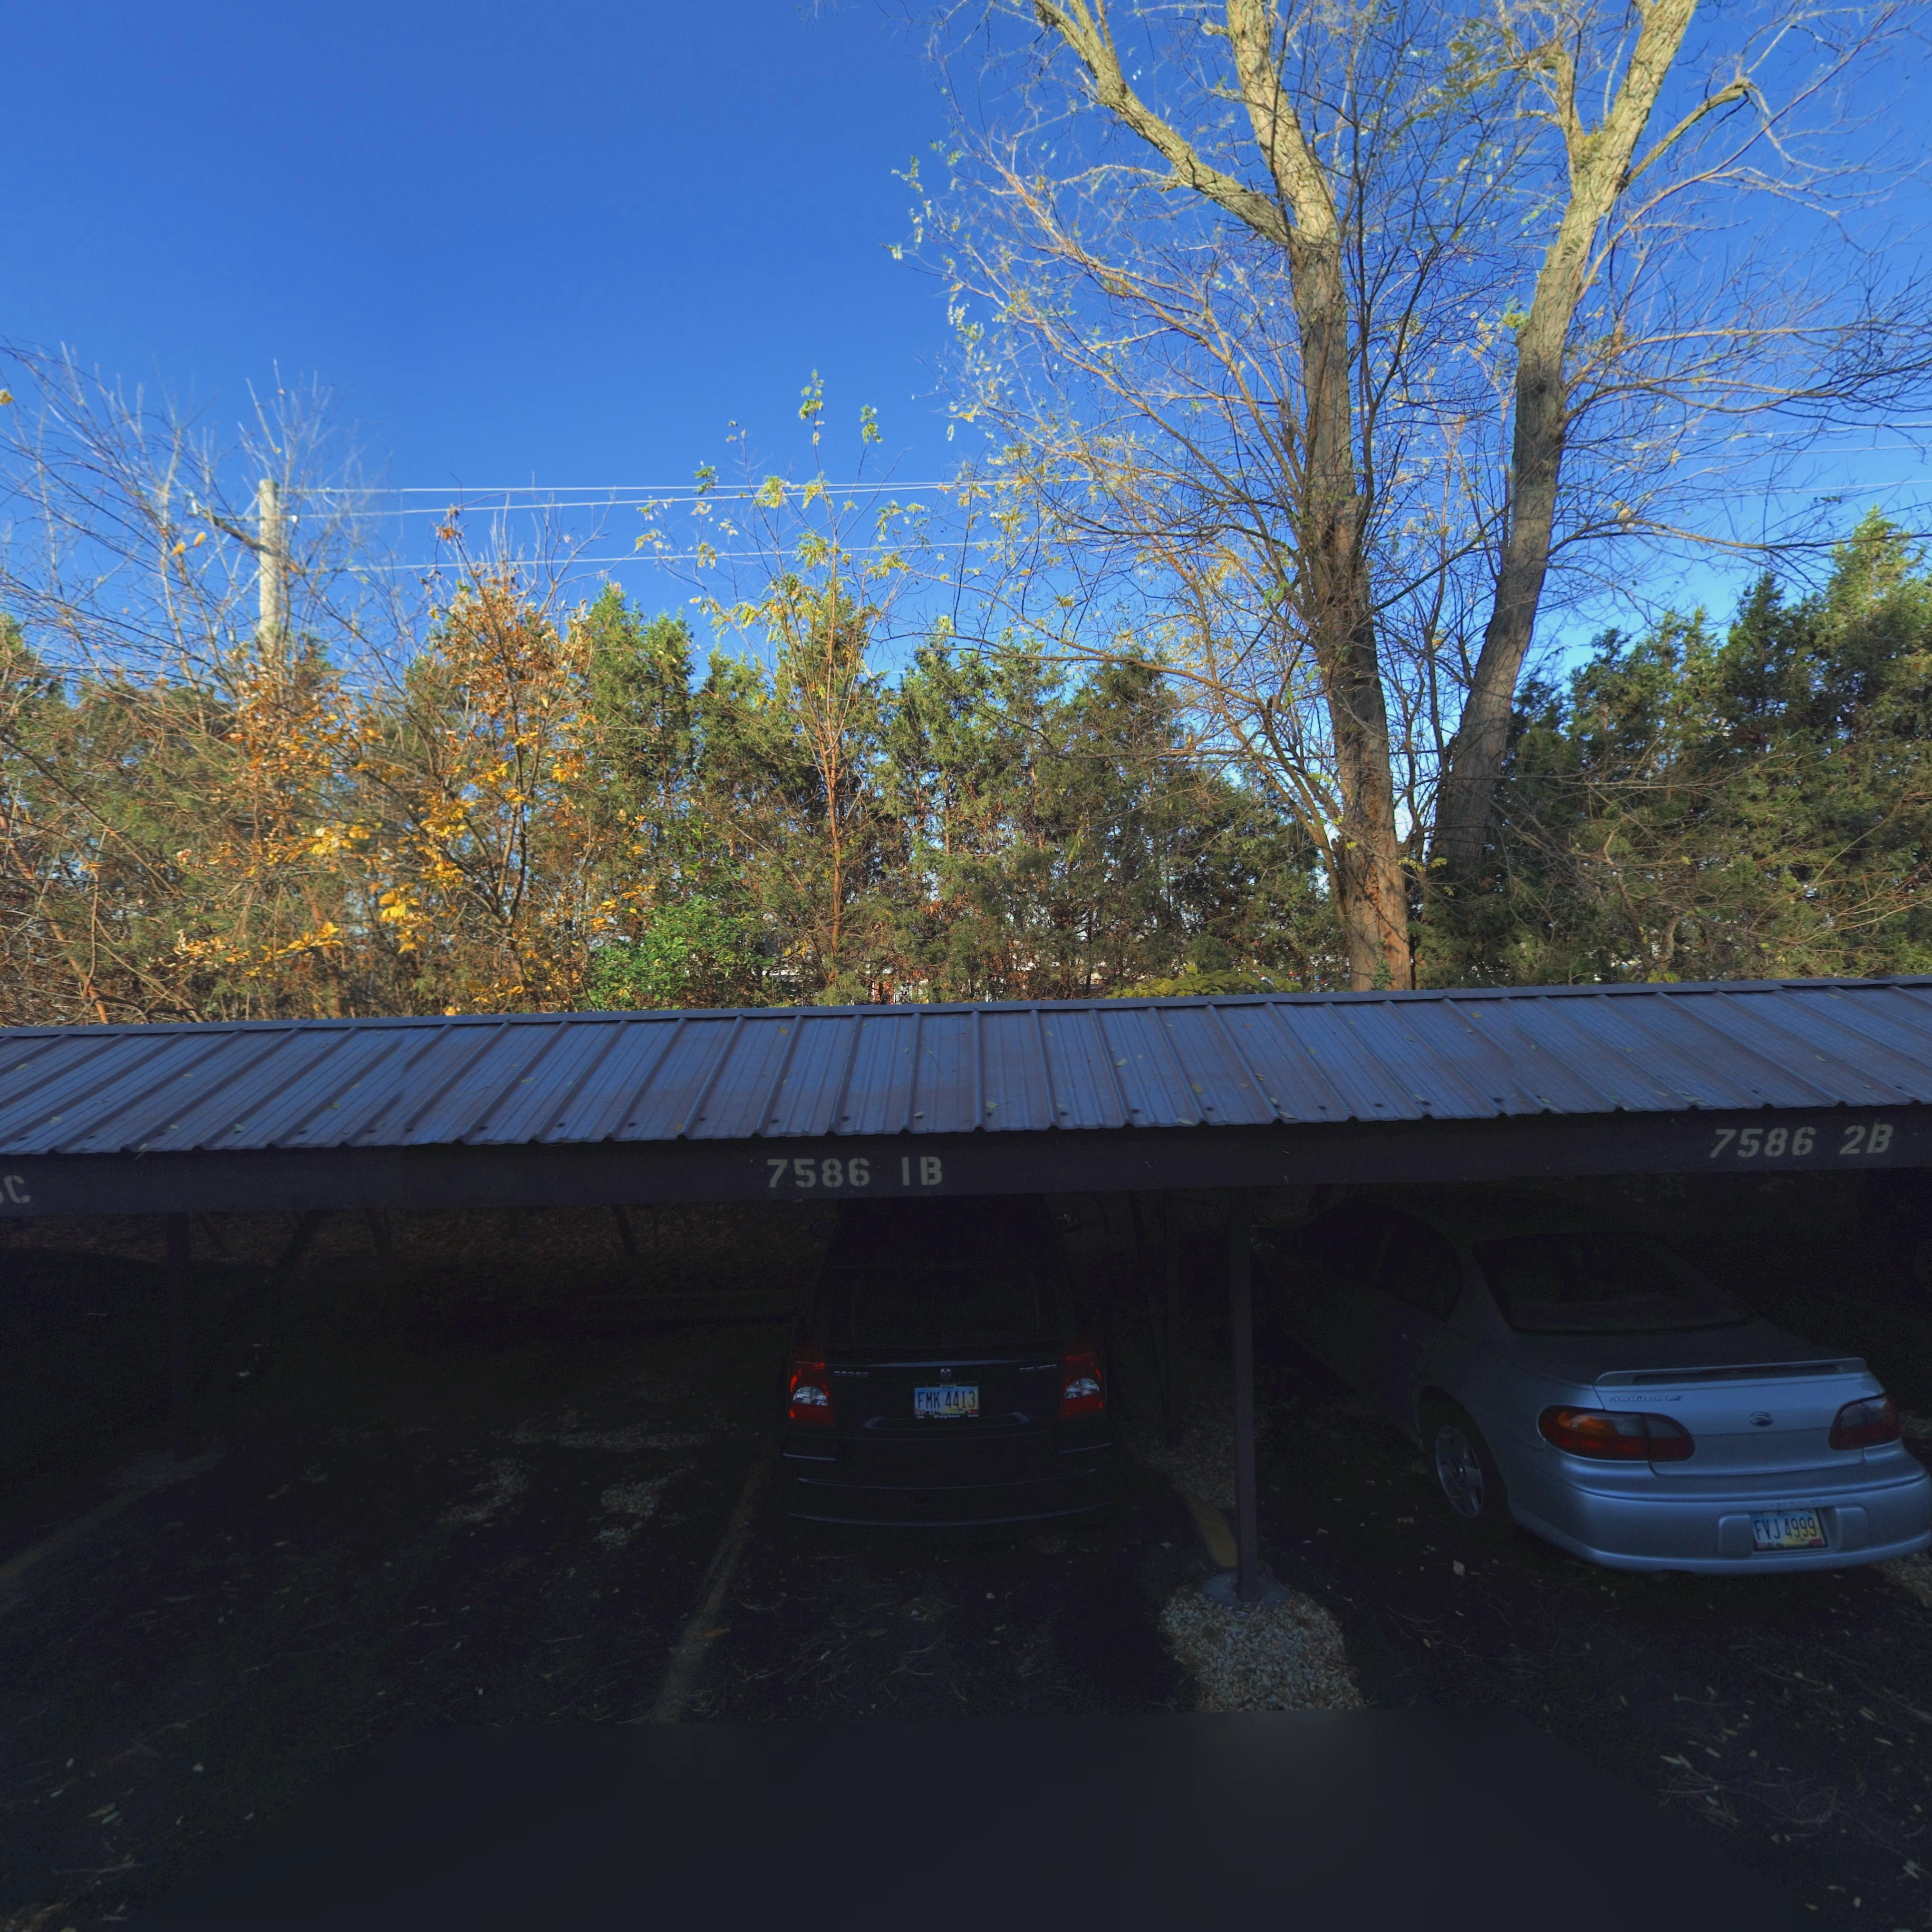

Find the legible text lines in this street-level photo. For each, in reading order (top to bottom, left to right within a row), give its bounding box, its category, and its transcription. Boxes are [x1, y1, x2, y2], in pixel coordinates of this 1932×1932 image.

[1707, 1126, 1817, 1159] StreetNumber: 7586
[766, 1157, 871, 1189] StreetNumber: 7586